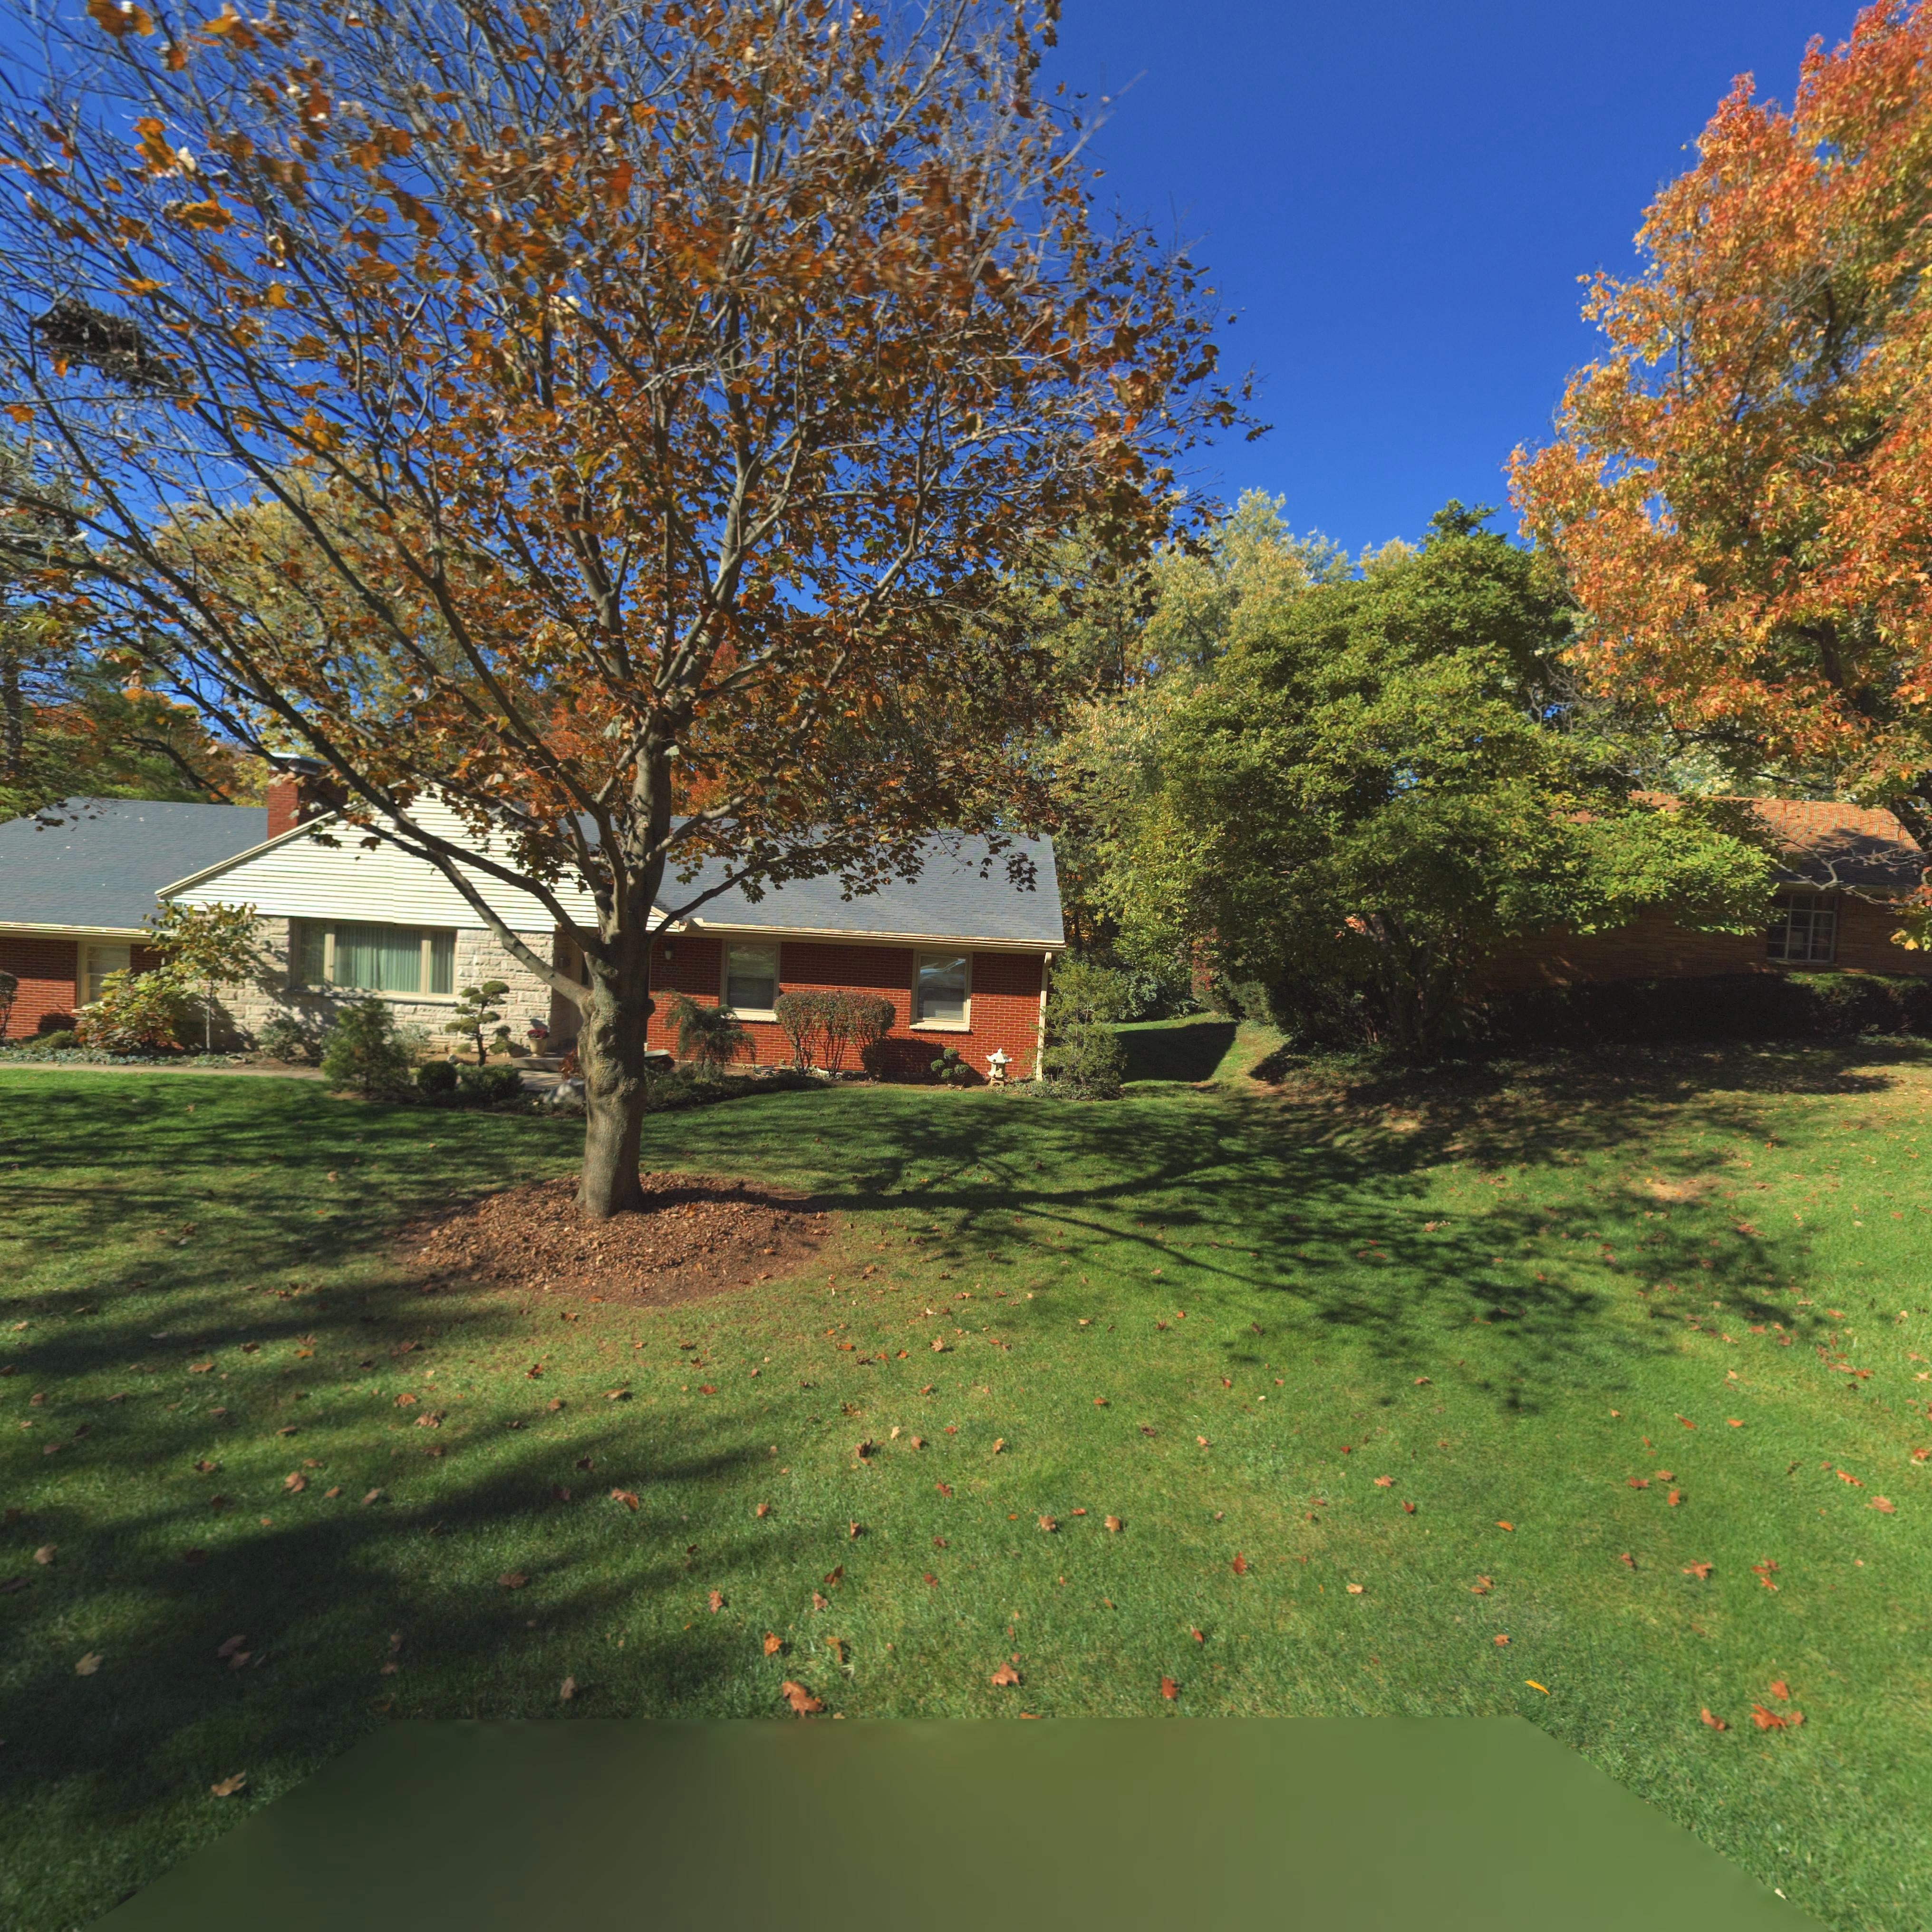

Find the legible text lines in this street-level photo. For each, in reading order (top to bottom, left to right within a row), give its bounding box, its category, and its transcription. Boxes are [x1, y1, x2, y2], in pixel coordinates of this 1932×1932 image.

[661, 965, 682, 976] StreetNumber: 4261